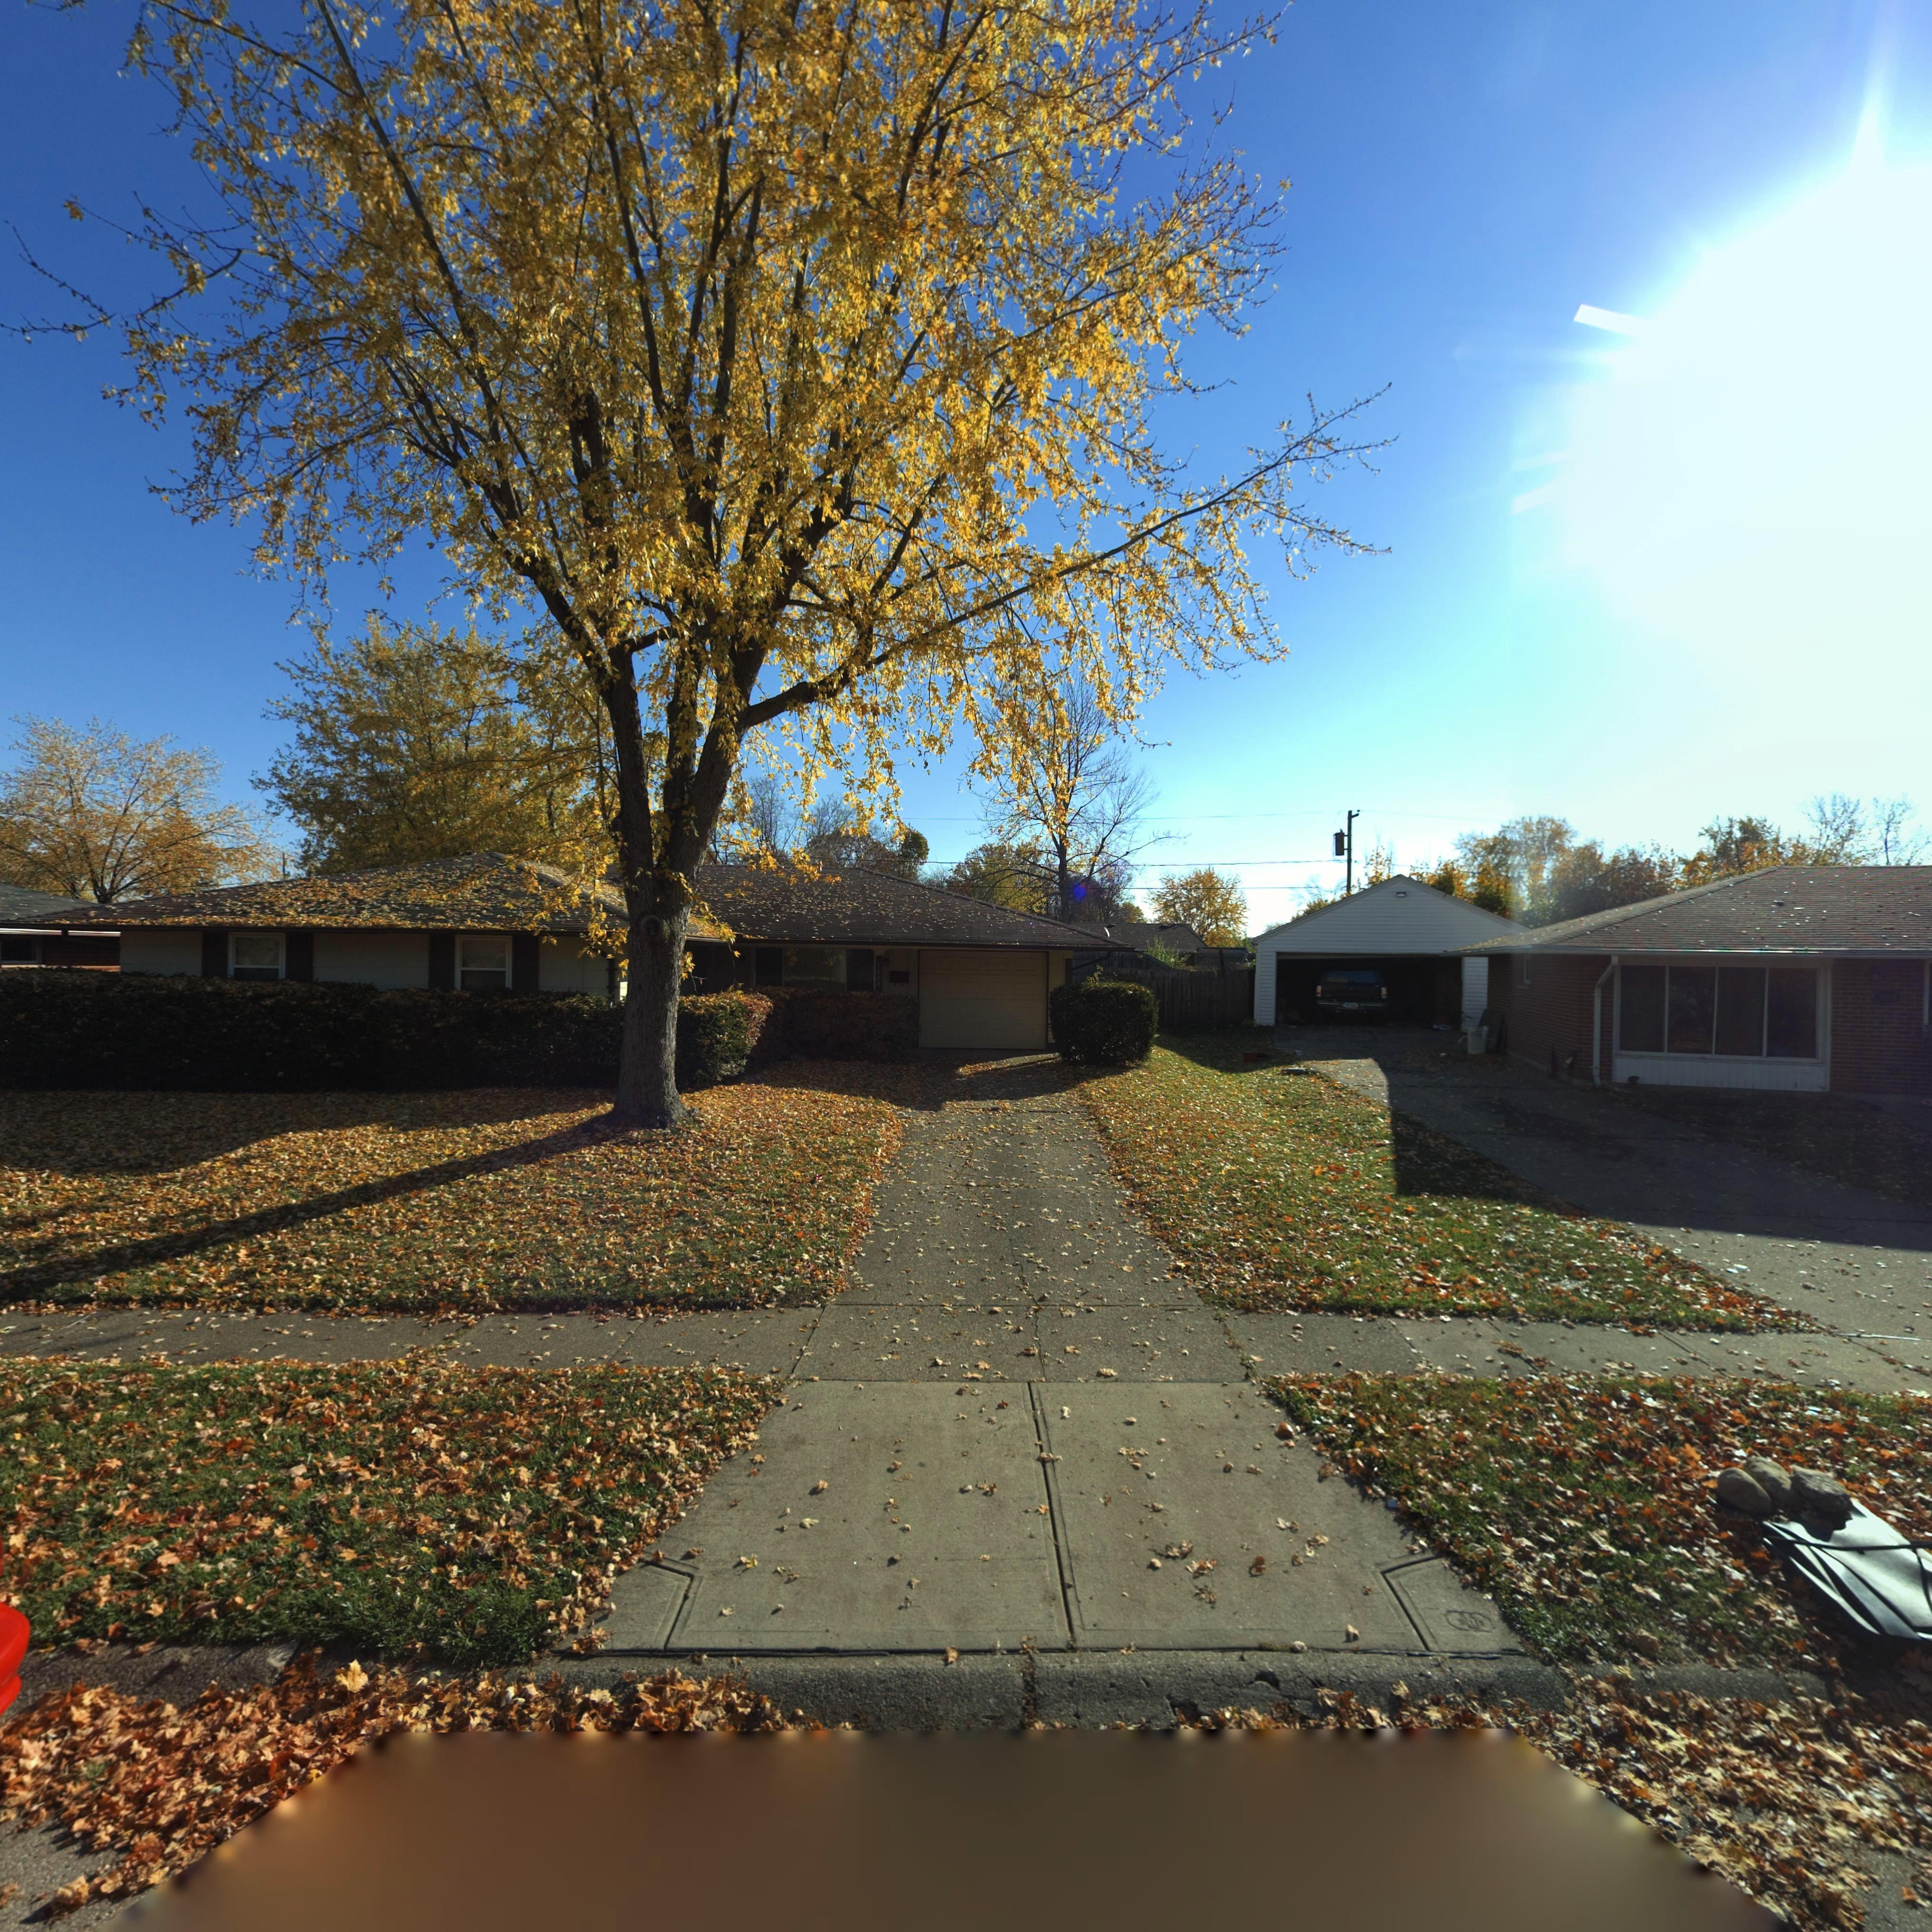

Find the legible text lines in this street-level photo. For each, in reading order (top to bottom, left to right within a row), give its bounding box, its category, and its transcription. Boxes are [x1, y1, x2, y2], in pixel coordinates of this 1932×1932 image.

[876, 963, 881, 986] StreetNumber: 7882